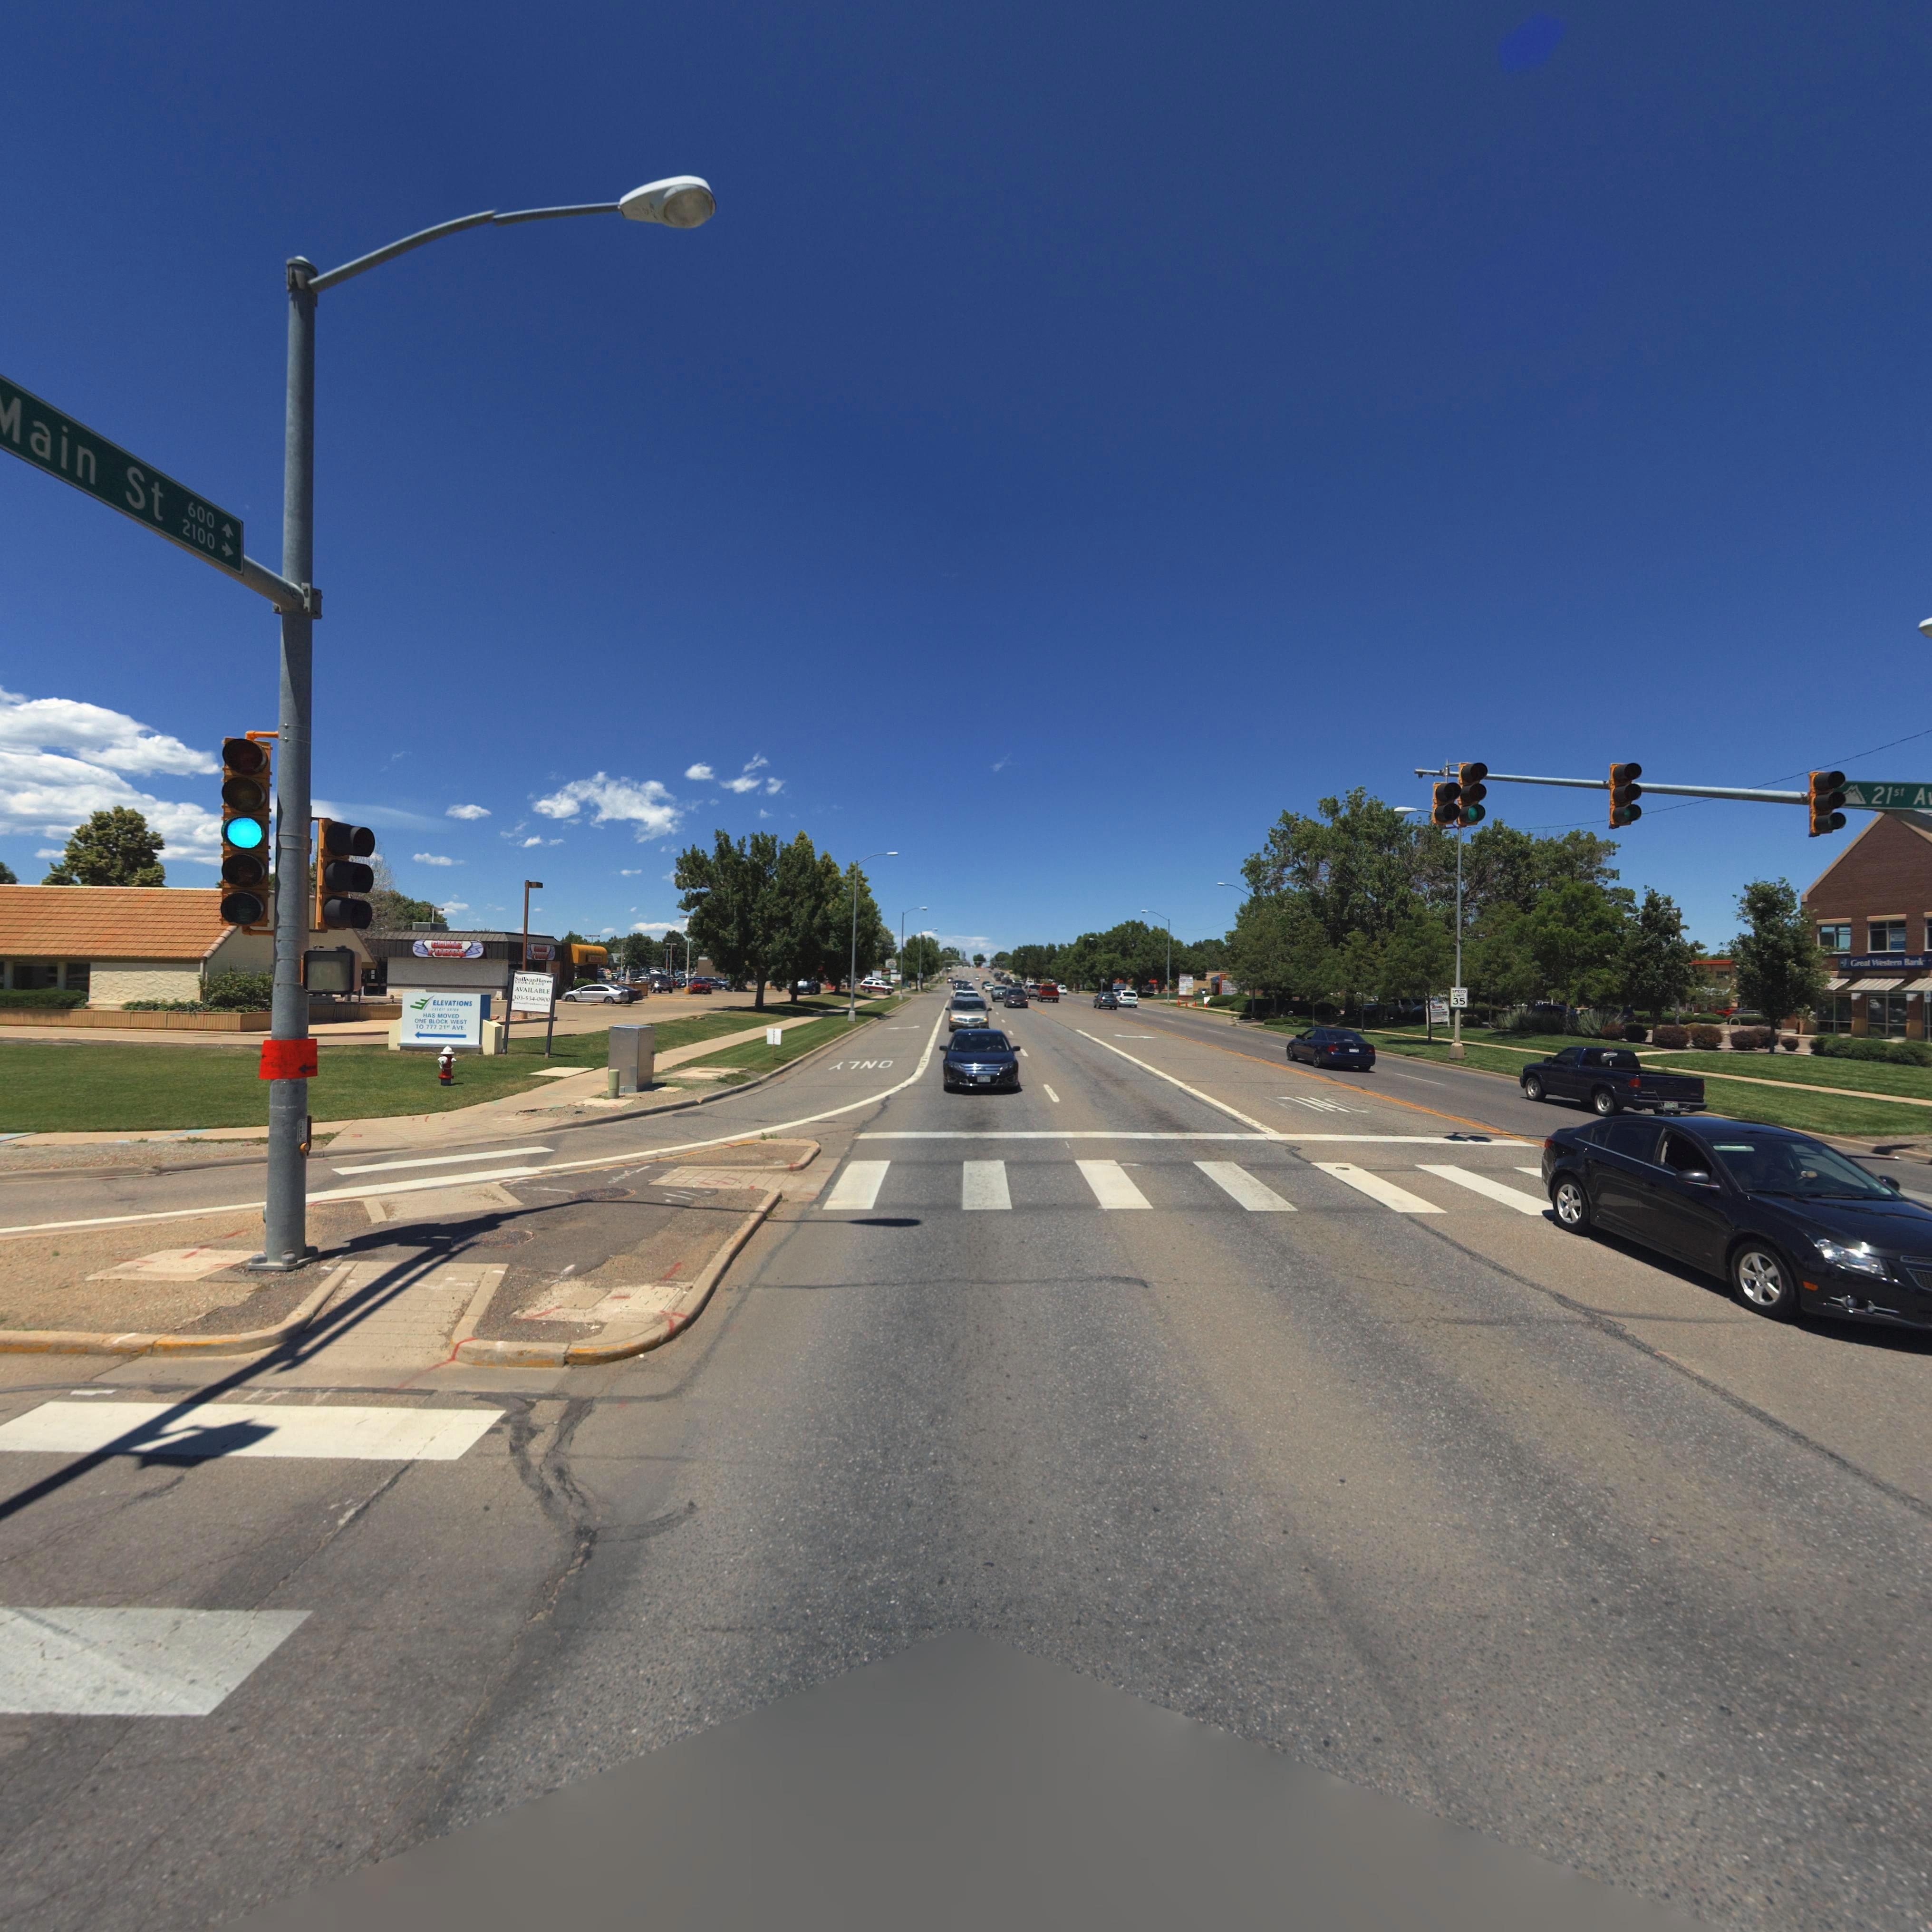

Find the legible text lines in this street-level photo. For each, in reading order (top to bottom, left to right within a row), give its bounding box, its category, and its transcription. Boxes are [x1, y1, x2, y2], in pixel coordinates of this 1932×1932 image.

[28, 413, 165, 522] StreetName: Main St
[187, 501, 214, 530] StreetNumberRange: 600
[181, 518, 234, 557] StreetNumberRange: 2100 ->
[1870, 784, 1925, 806] StreetName: 21st A
[431, 940, 462, 948] BusinessName: GAME
[427, 948, 466, 956] BusinessName: FORCE
[531, 951, 548, 959] BusinessName: FO***
[533, 945, 547, 952] BusinessName: *A**
[1849, 957, 1926, 966] BusinessName: Great Western Bank